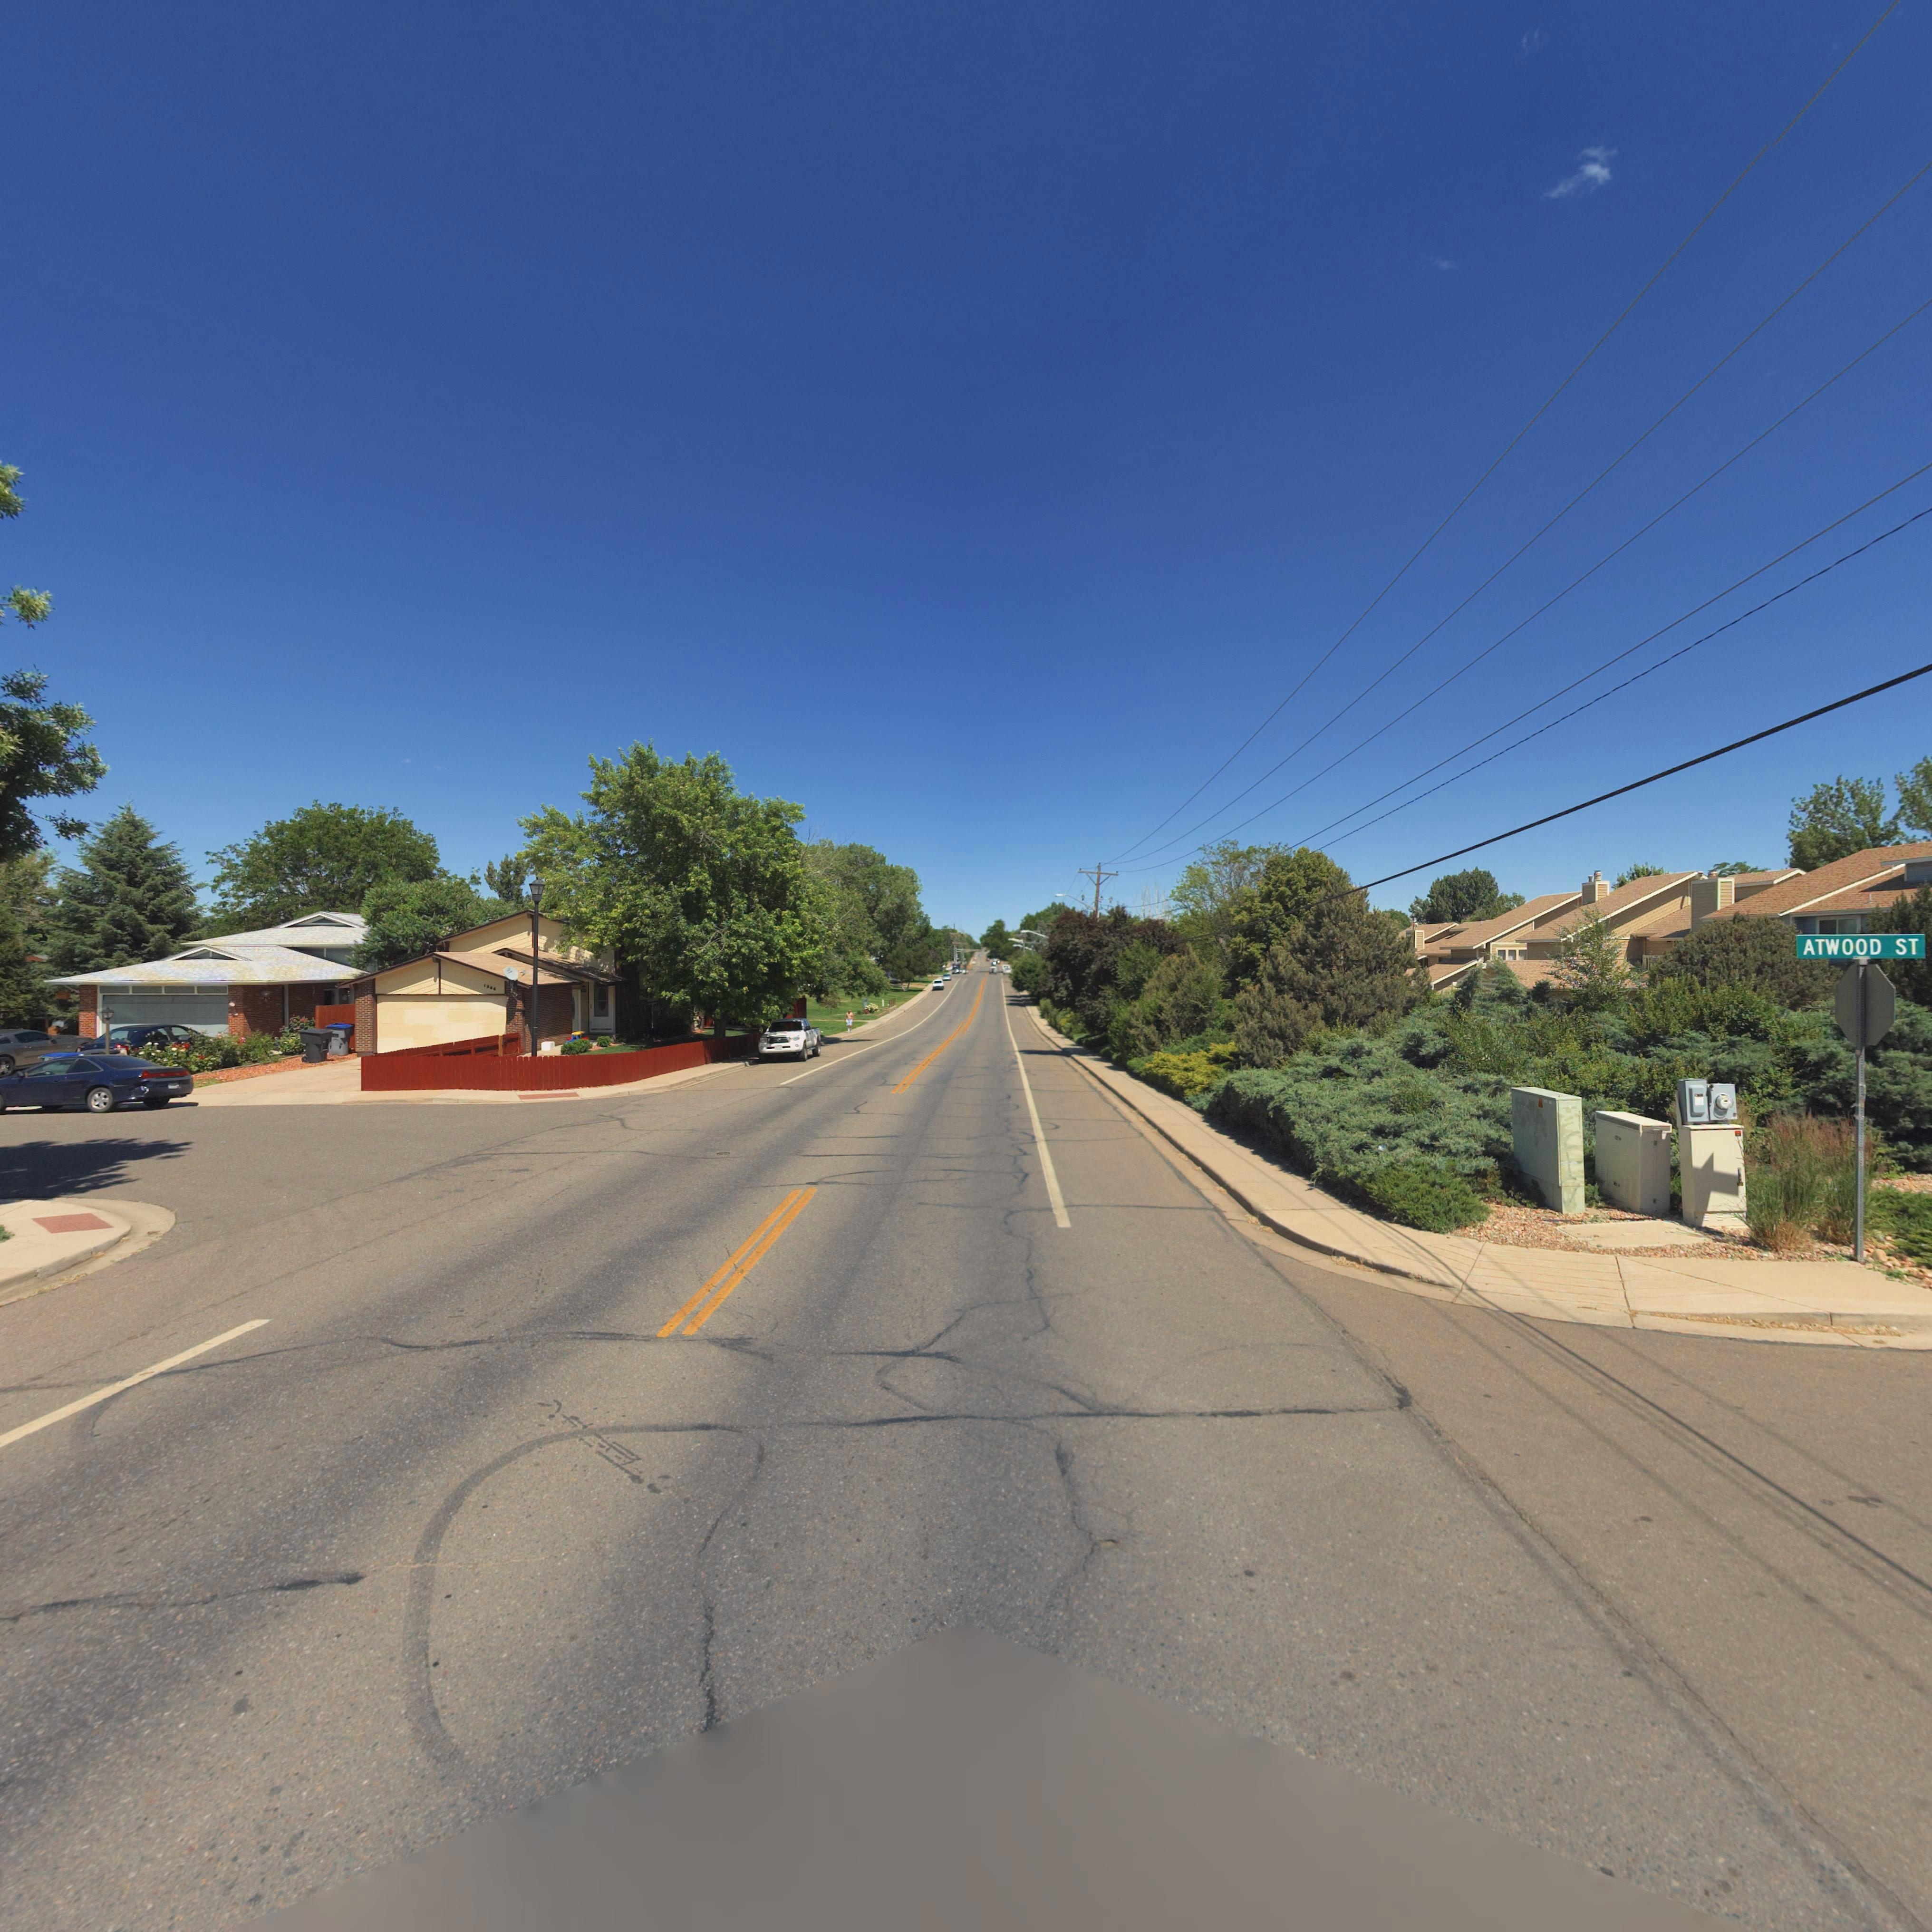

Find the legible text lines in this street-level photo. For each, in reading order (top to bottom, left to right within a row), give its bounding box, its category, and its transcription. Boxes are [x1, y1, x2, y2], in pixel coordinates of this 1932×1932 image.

[1802, 937, 1919, 955] StreetName: ATWOOD ST
[483, 983, 496, 991] StreetNumber: 1306